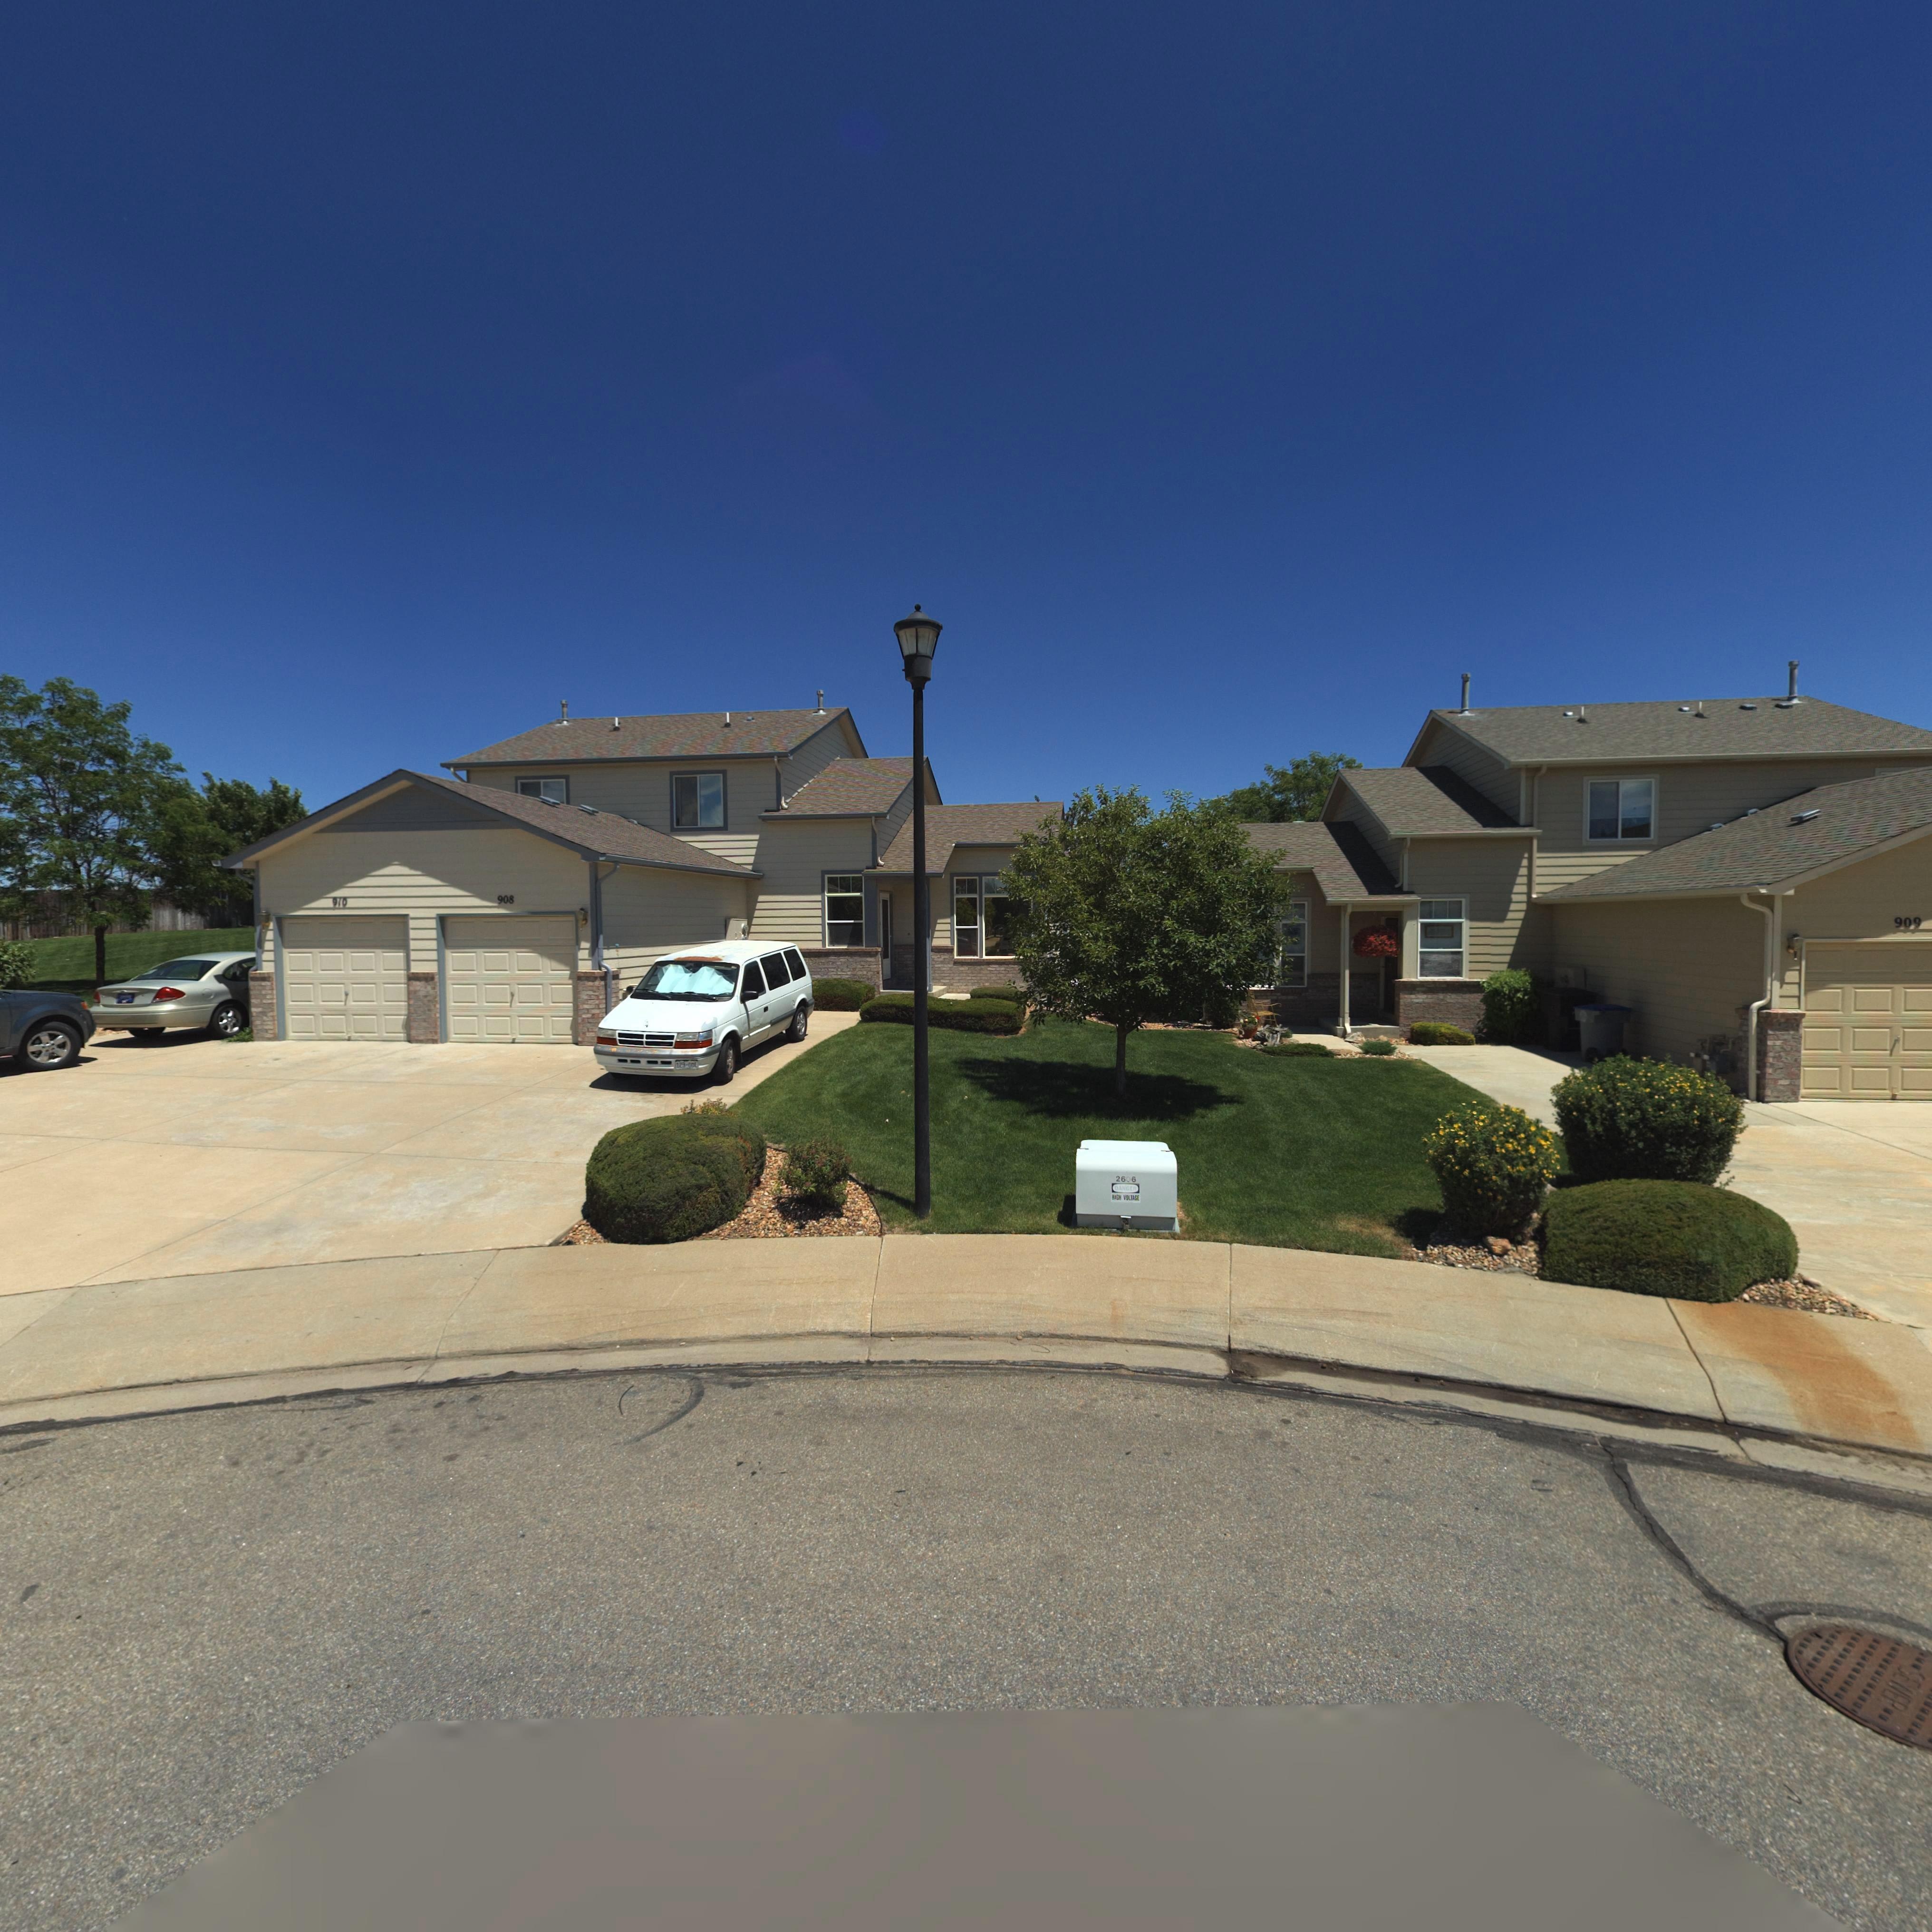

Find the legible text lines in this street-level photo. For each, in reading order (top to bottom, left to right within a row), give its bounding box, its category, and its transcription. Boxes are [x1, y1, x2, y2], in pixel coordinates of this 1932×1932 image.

[331, 896, 348, 906] StreetNumber: 910
[497, 894, 514, 904] StreetNumber: 908
[1894, 916, 1922, 928] StreetNumber: 909